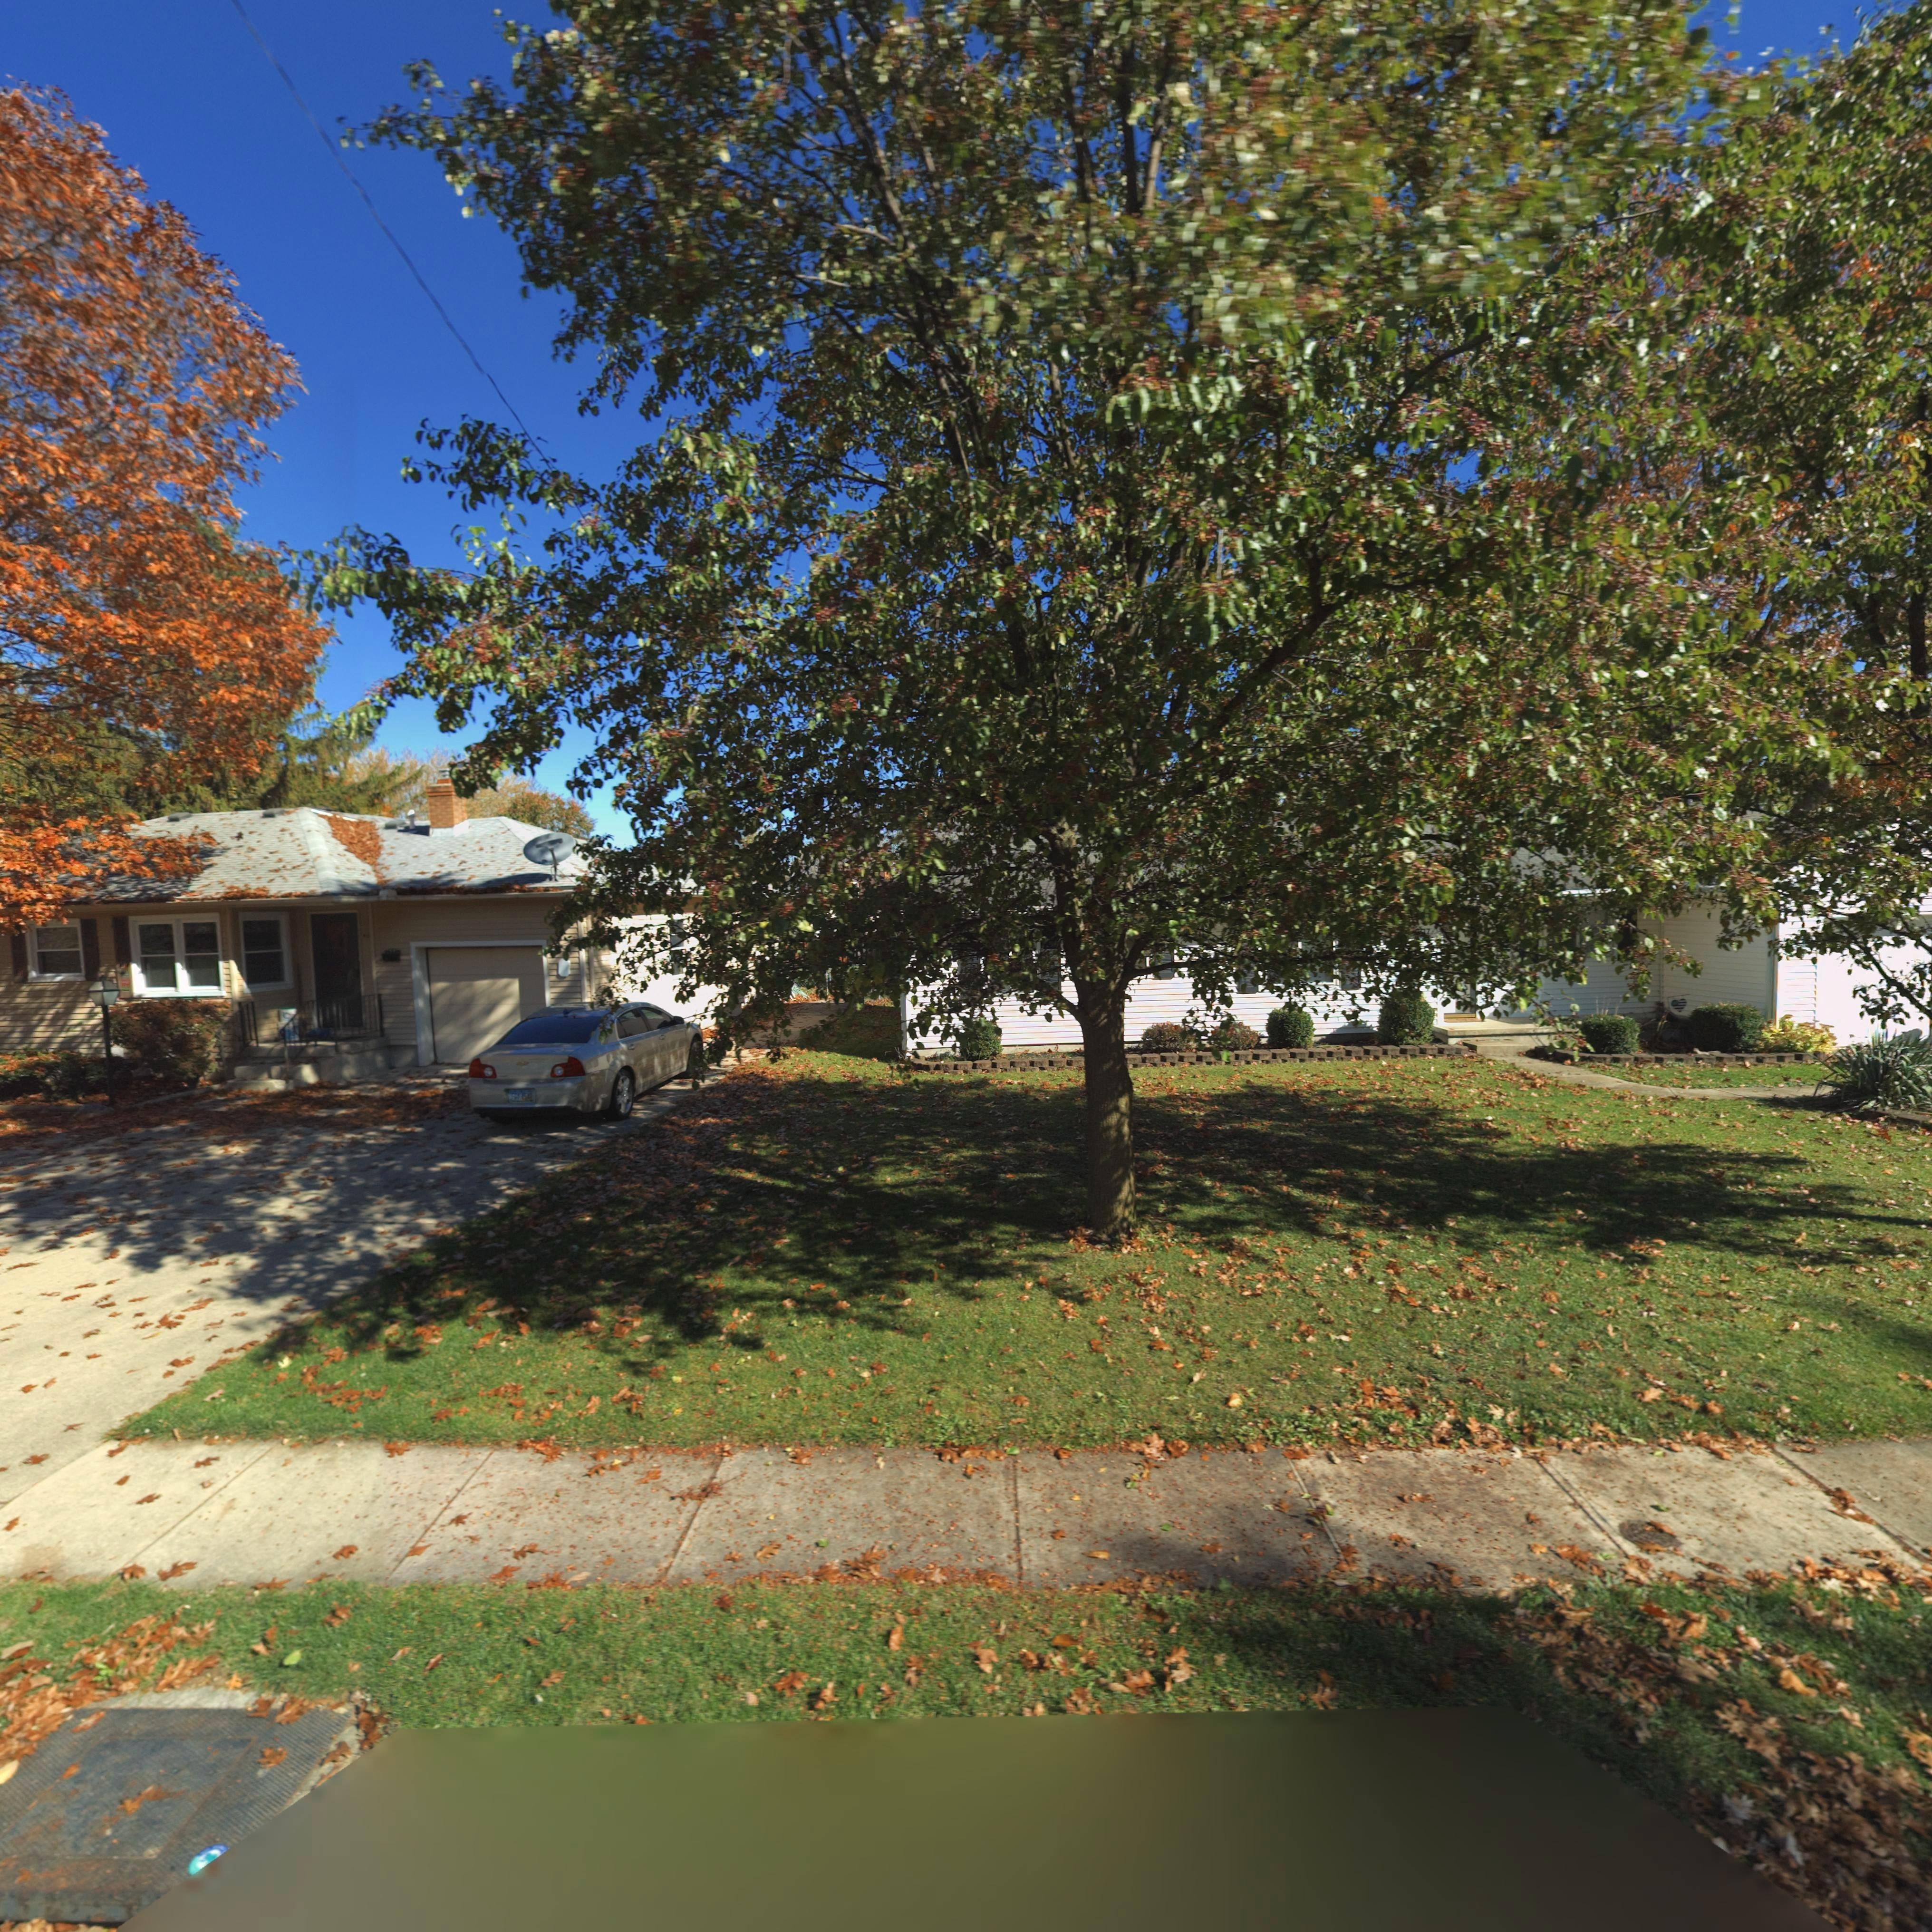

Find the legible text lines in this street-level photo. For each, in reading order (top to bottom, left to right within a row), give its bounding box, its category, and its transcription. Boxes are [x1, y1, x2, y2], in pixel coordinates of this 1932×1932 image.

[1426, 927, 1430, 934] StreetNumber: 7